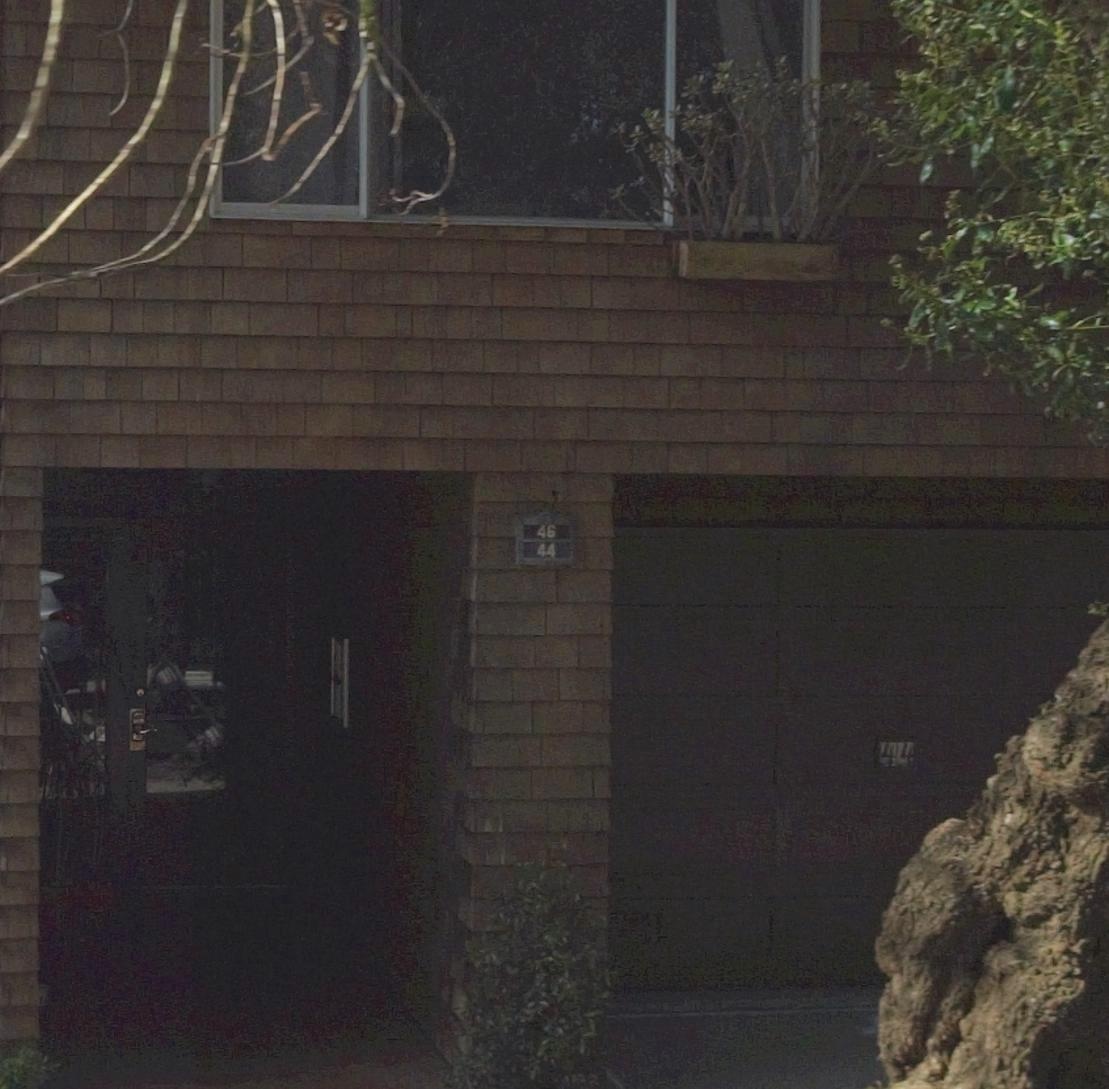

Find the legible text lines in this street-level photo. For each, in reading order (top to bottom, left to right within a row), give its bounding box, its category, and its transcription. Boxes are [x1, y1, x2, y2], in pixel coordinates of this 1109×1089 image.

[535, 524, 557, 539] StreetNumber: 46
[536, 542, 557, 558] StreetNumber: 44